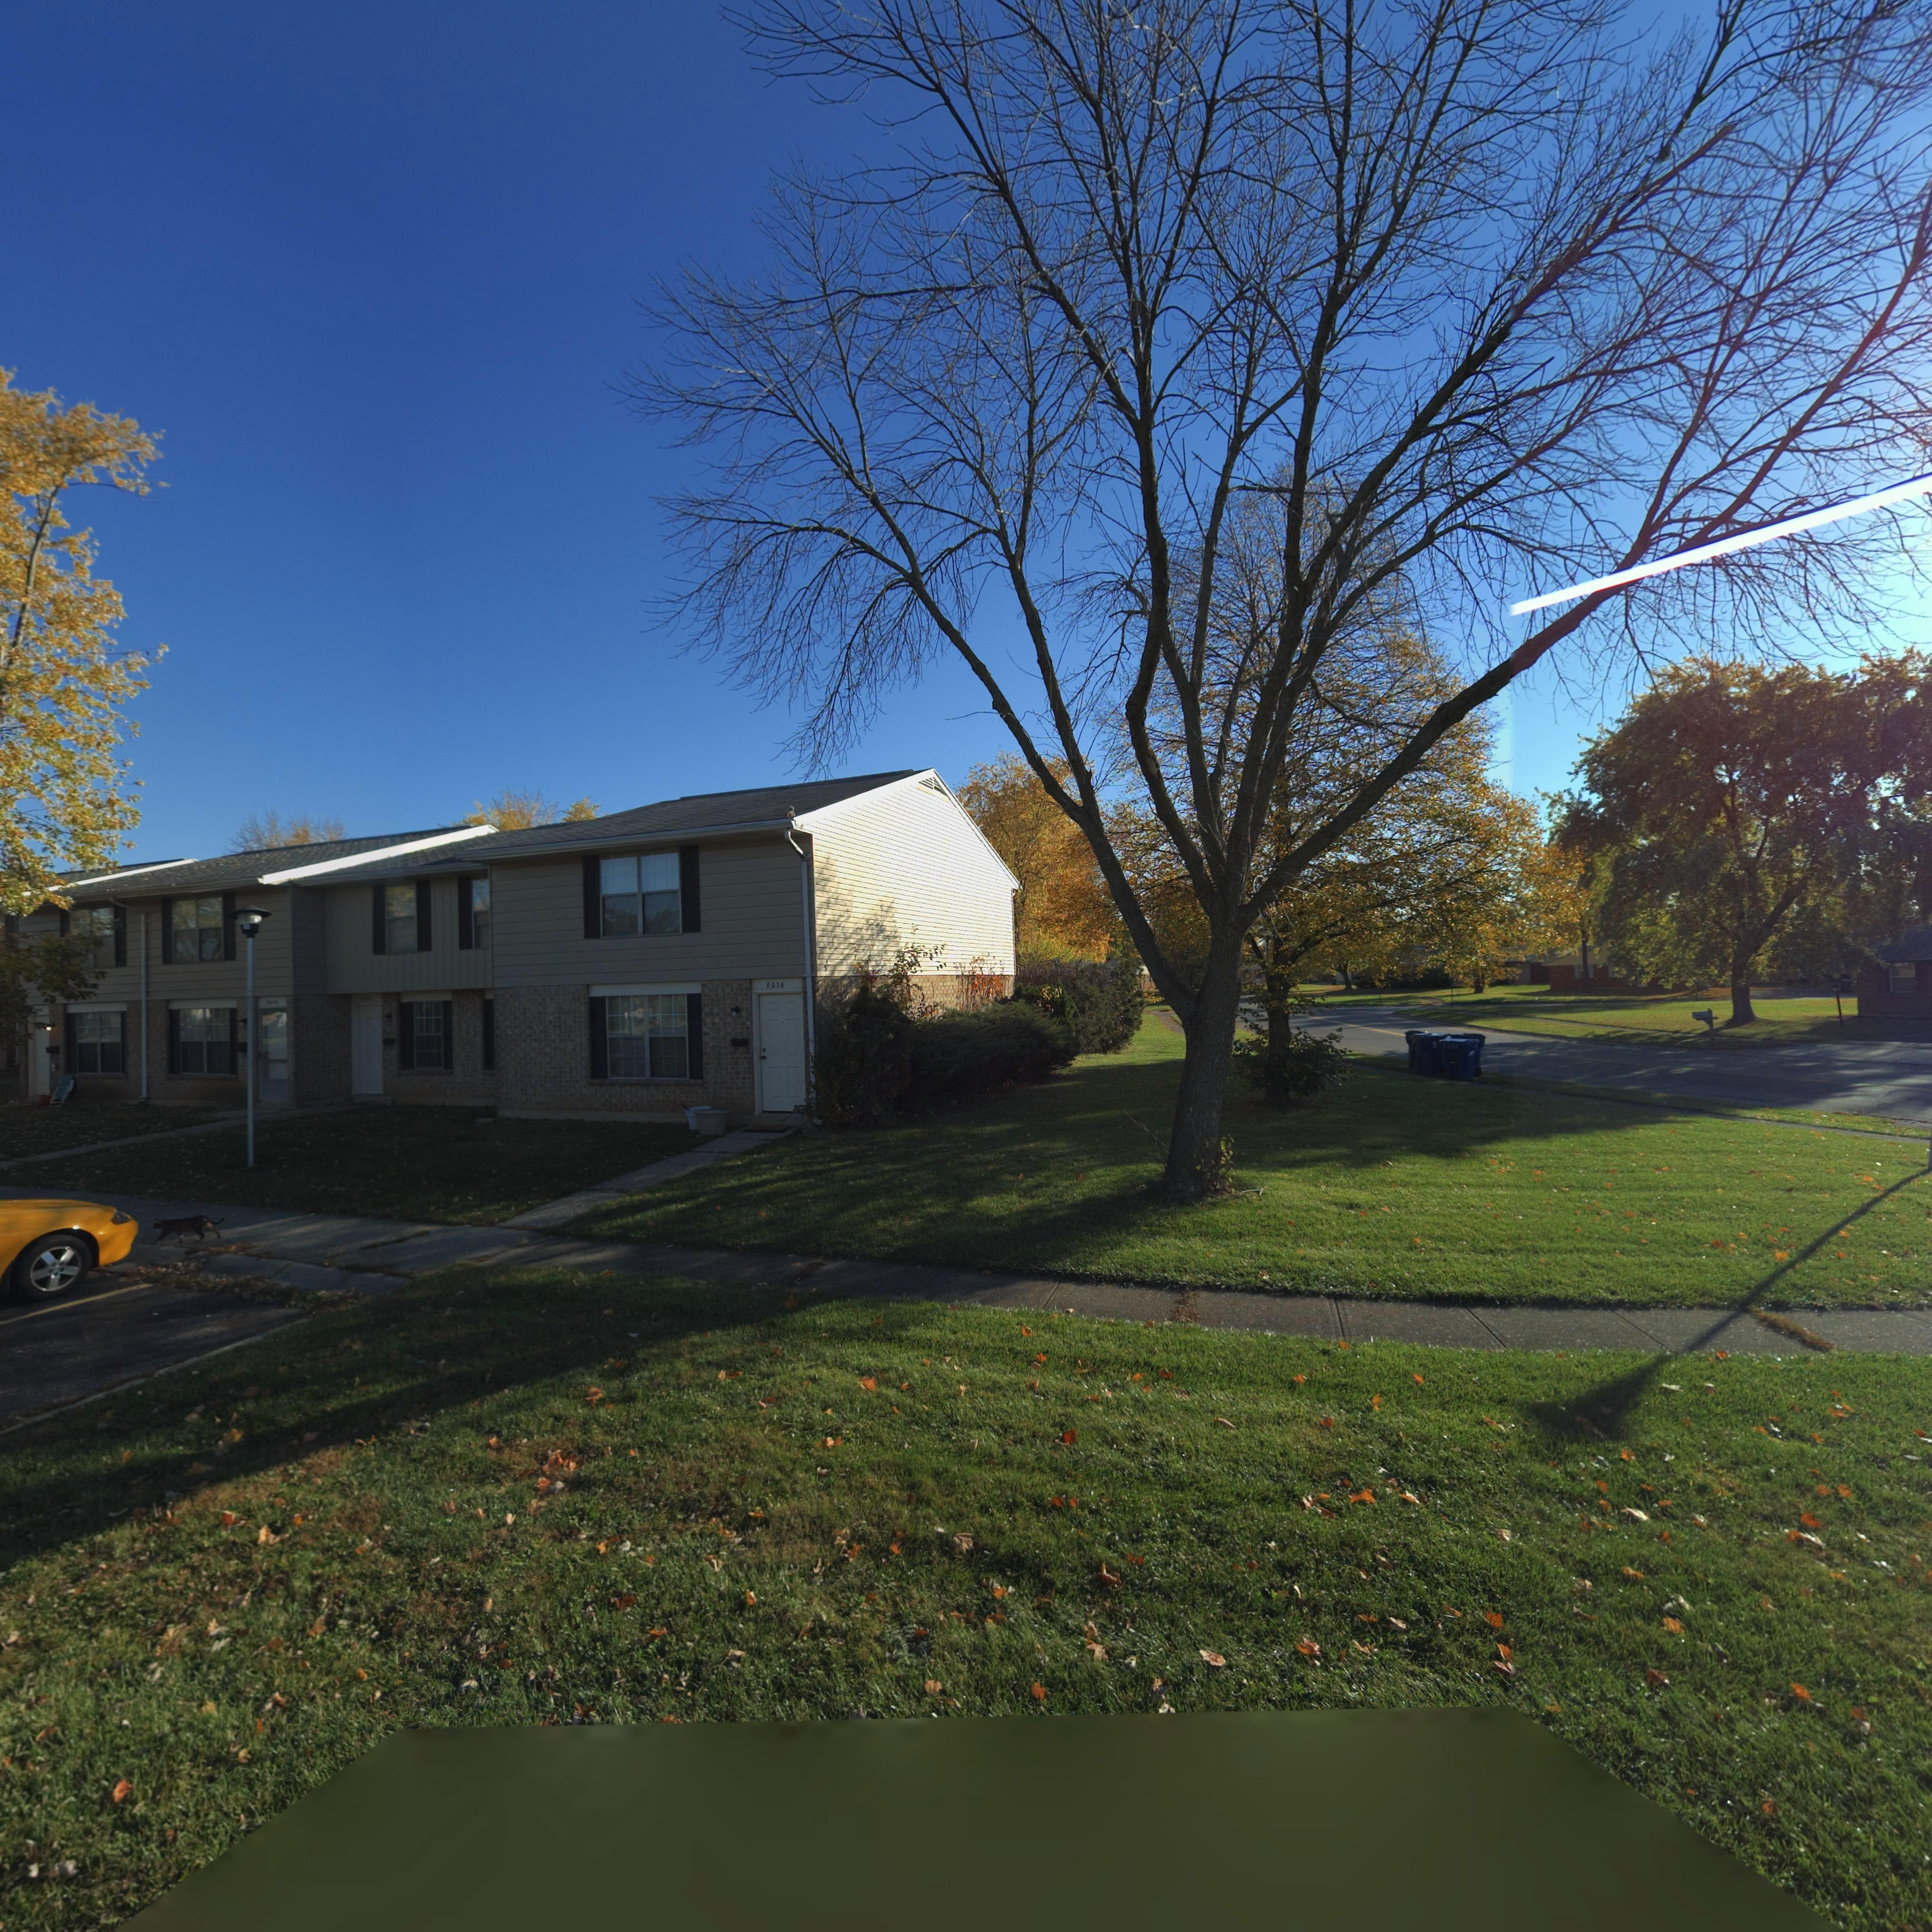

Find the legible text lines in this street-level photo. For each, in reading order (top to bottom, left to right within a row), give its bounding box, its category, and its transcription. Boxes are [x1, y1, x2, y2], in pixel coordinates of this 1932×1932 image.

[765, 981, 786, 989] StreetNumber: 8036